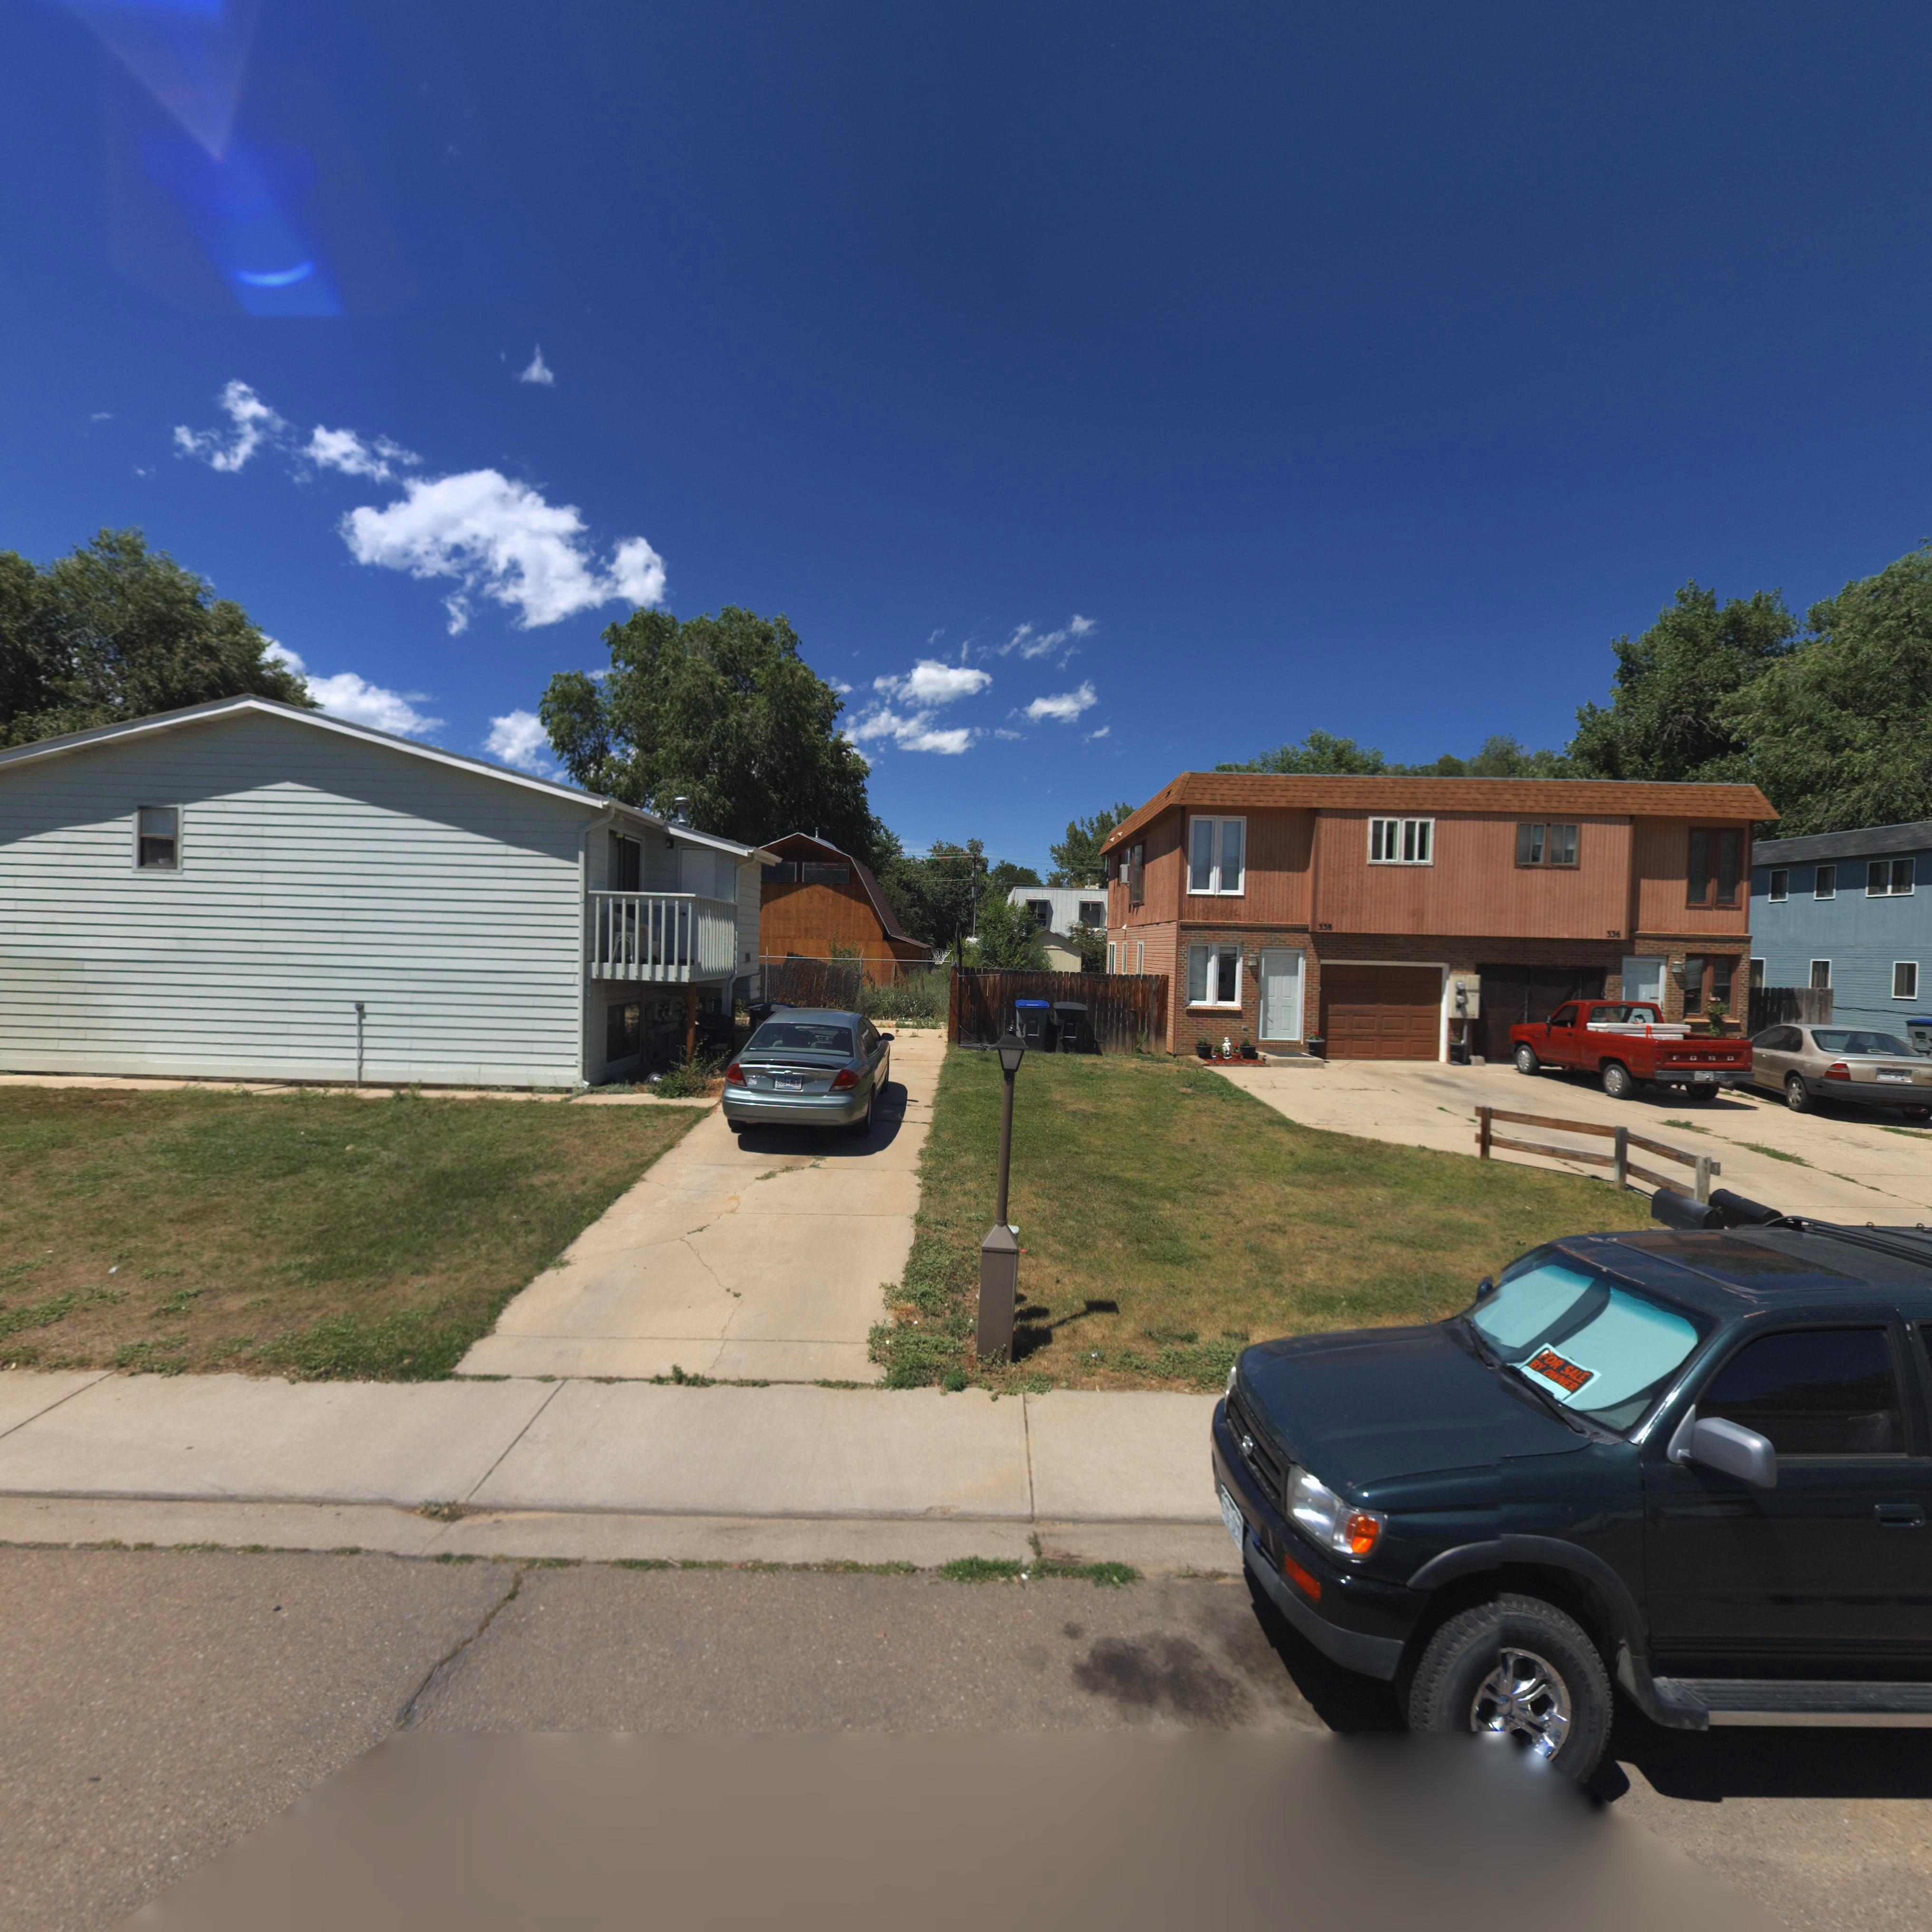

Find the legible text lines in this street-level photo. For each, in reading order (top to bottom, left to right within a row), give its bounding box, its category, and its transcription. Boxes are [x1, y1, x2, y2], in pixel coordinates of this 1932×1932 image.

[1317, 923, 1332, 930] StreetNumber: 33*
[1606, 930, 1621, 938] StreetNumber: 336